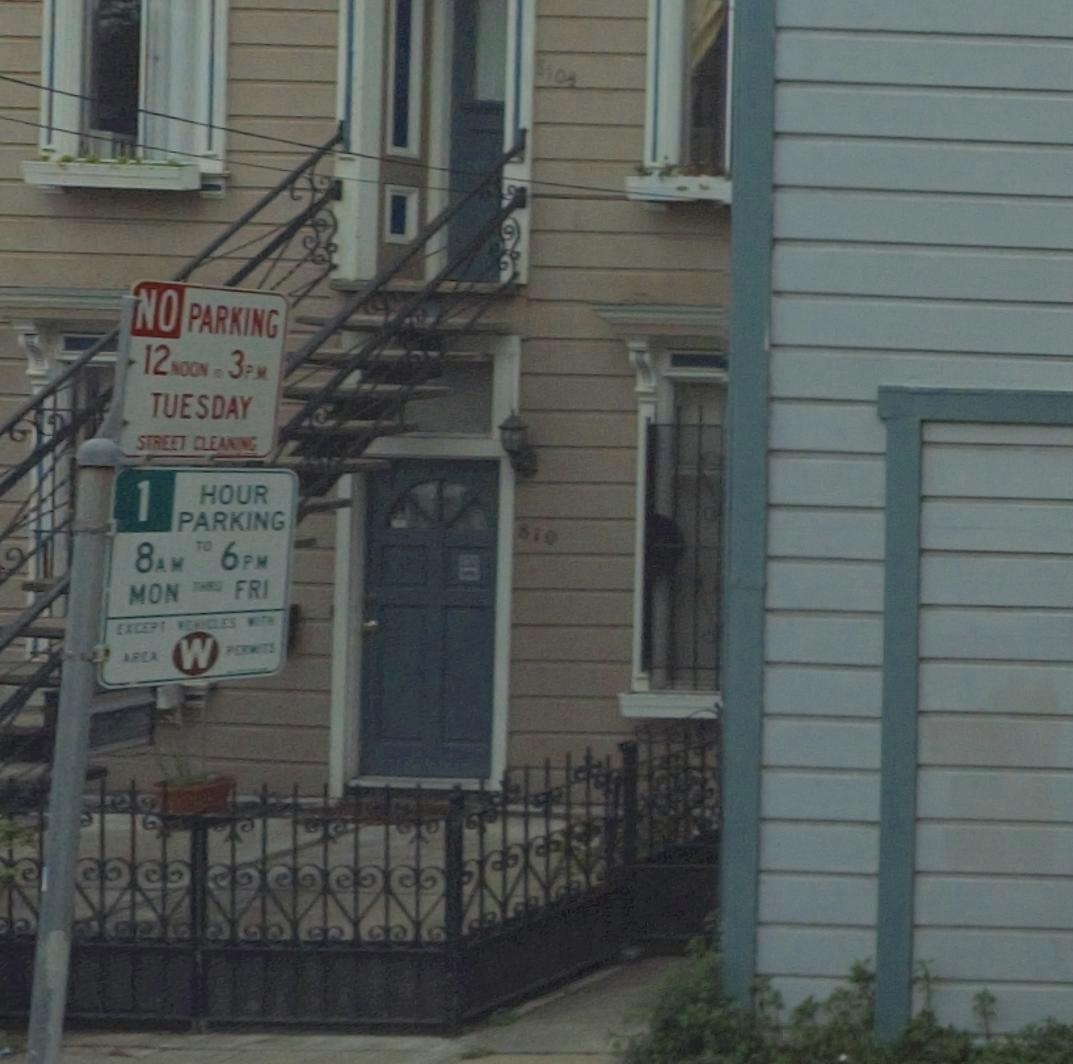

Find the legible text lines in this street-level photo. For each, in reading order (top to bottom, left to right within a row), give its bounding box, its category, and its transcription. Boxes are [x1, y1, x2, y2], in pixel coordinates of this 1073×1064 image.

[532, 57, 580, 93] StreetNumber: 810 1/2
[132, 286, 280, 340] None: NO PARKING
[141, 340, 211, 381] None: 12NOON
[226, 347, 268, 382] None: 3PM
[148, 390, 255, 422] None: TUESDAY
[134, 433, 259, 453] None: STREET CLEANING
[135, 477, 151, 523] None: 1
[198, 483, 270, 506] None: HOUR
[135, 539, 185, 575] None: 8AM
[194, 539, 214, 553] None: TO
[175, 509, 287, 534] None: PARKING
[218, 540, 269, 573] None: 6PM
[516, 520, 558, 548] StreetNumber: 810
[126, 582, 180, 609] None: MON
[192, 579, 224, 594] None: THRU
[233, 578, 270, 603] None: FRI
[114, 614, 278, 637] None: EXCEPT VEHICLES WITH
[121, 650, 159, 665] None: AREA
[177, 636, 216, 671] None: W
[223, 641, 277, 658] None: PERMITS